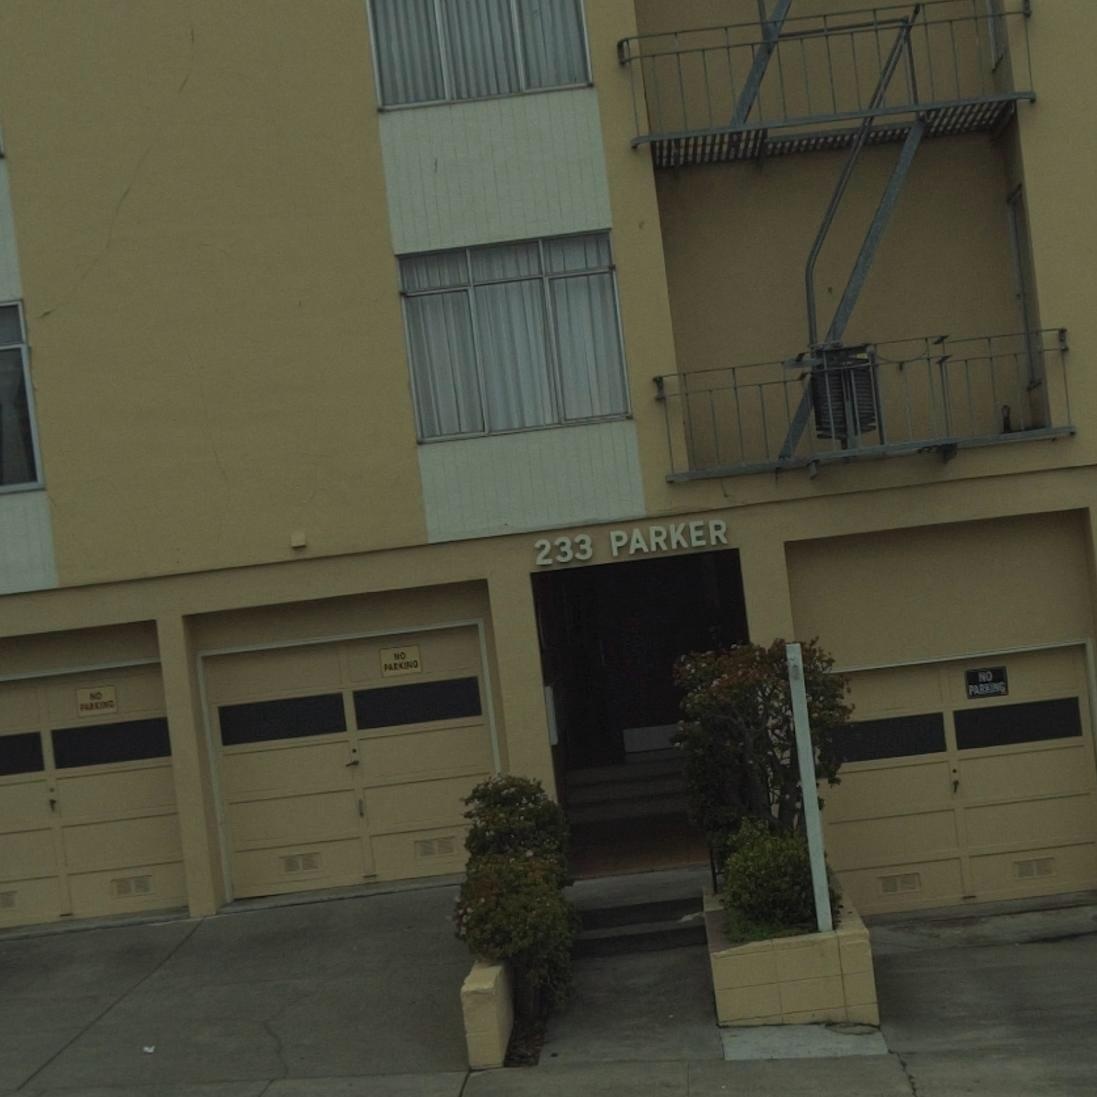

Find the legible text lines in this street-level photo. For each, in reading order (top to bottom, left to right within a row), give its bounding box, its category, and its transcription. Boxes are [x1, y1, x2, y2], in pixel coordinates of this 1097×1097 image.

[607, 517, 732, 559] StreetName: PARKER
[529, 532, 598, 568] StreetNumber: 233
[392, 650, 407, 662] None: NO
[382, 658, 420, 674] None: PARKING
[977, 670, 994, 683] None: NO
[88, 690, 104, 702] None: NO
[966, 680, 1007, 697] None: PARKING
[79, 699, 116, 713] None: PARKING